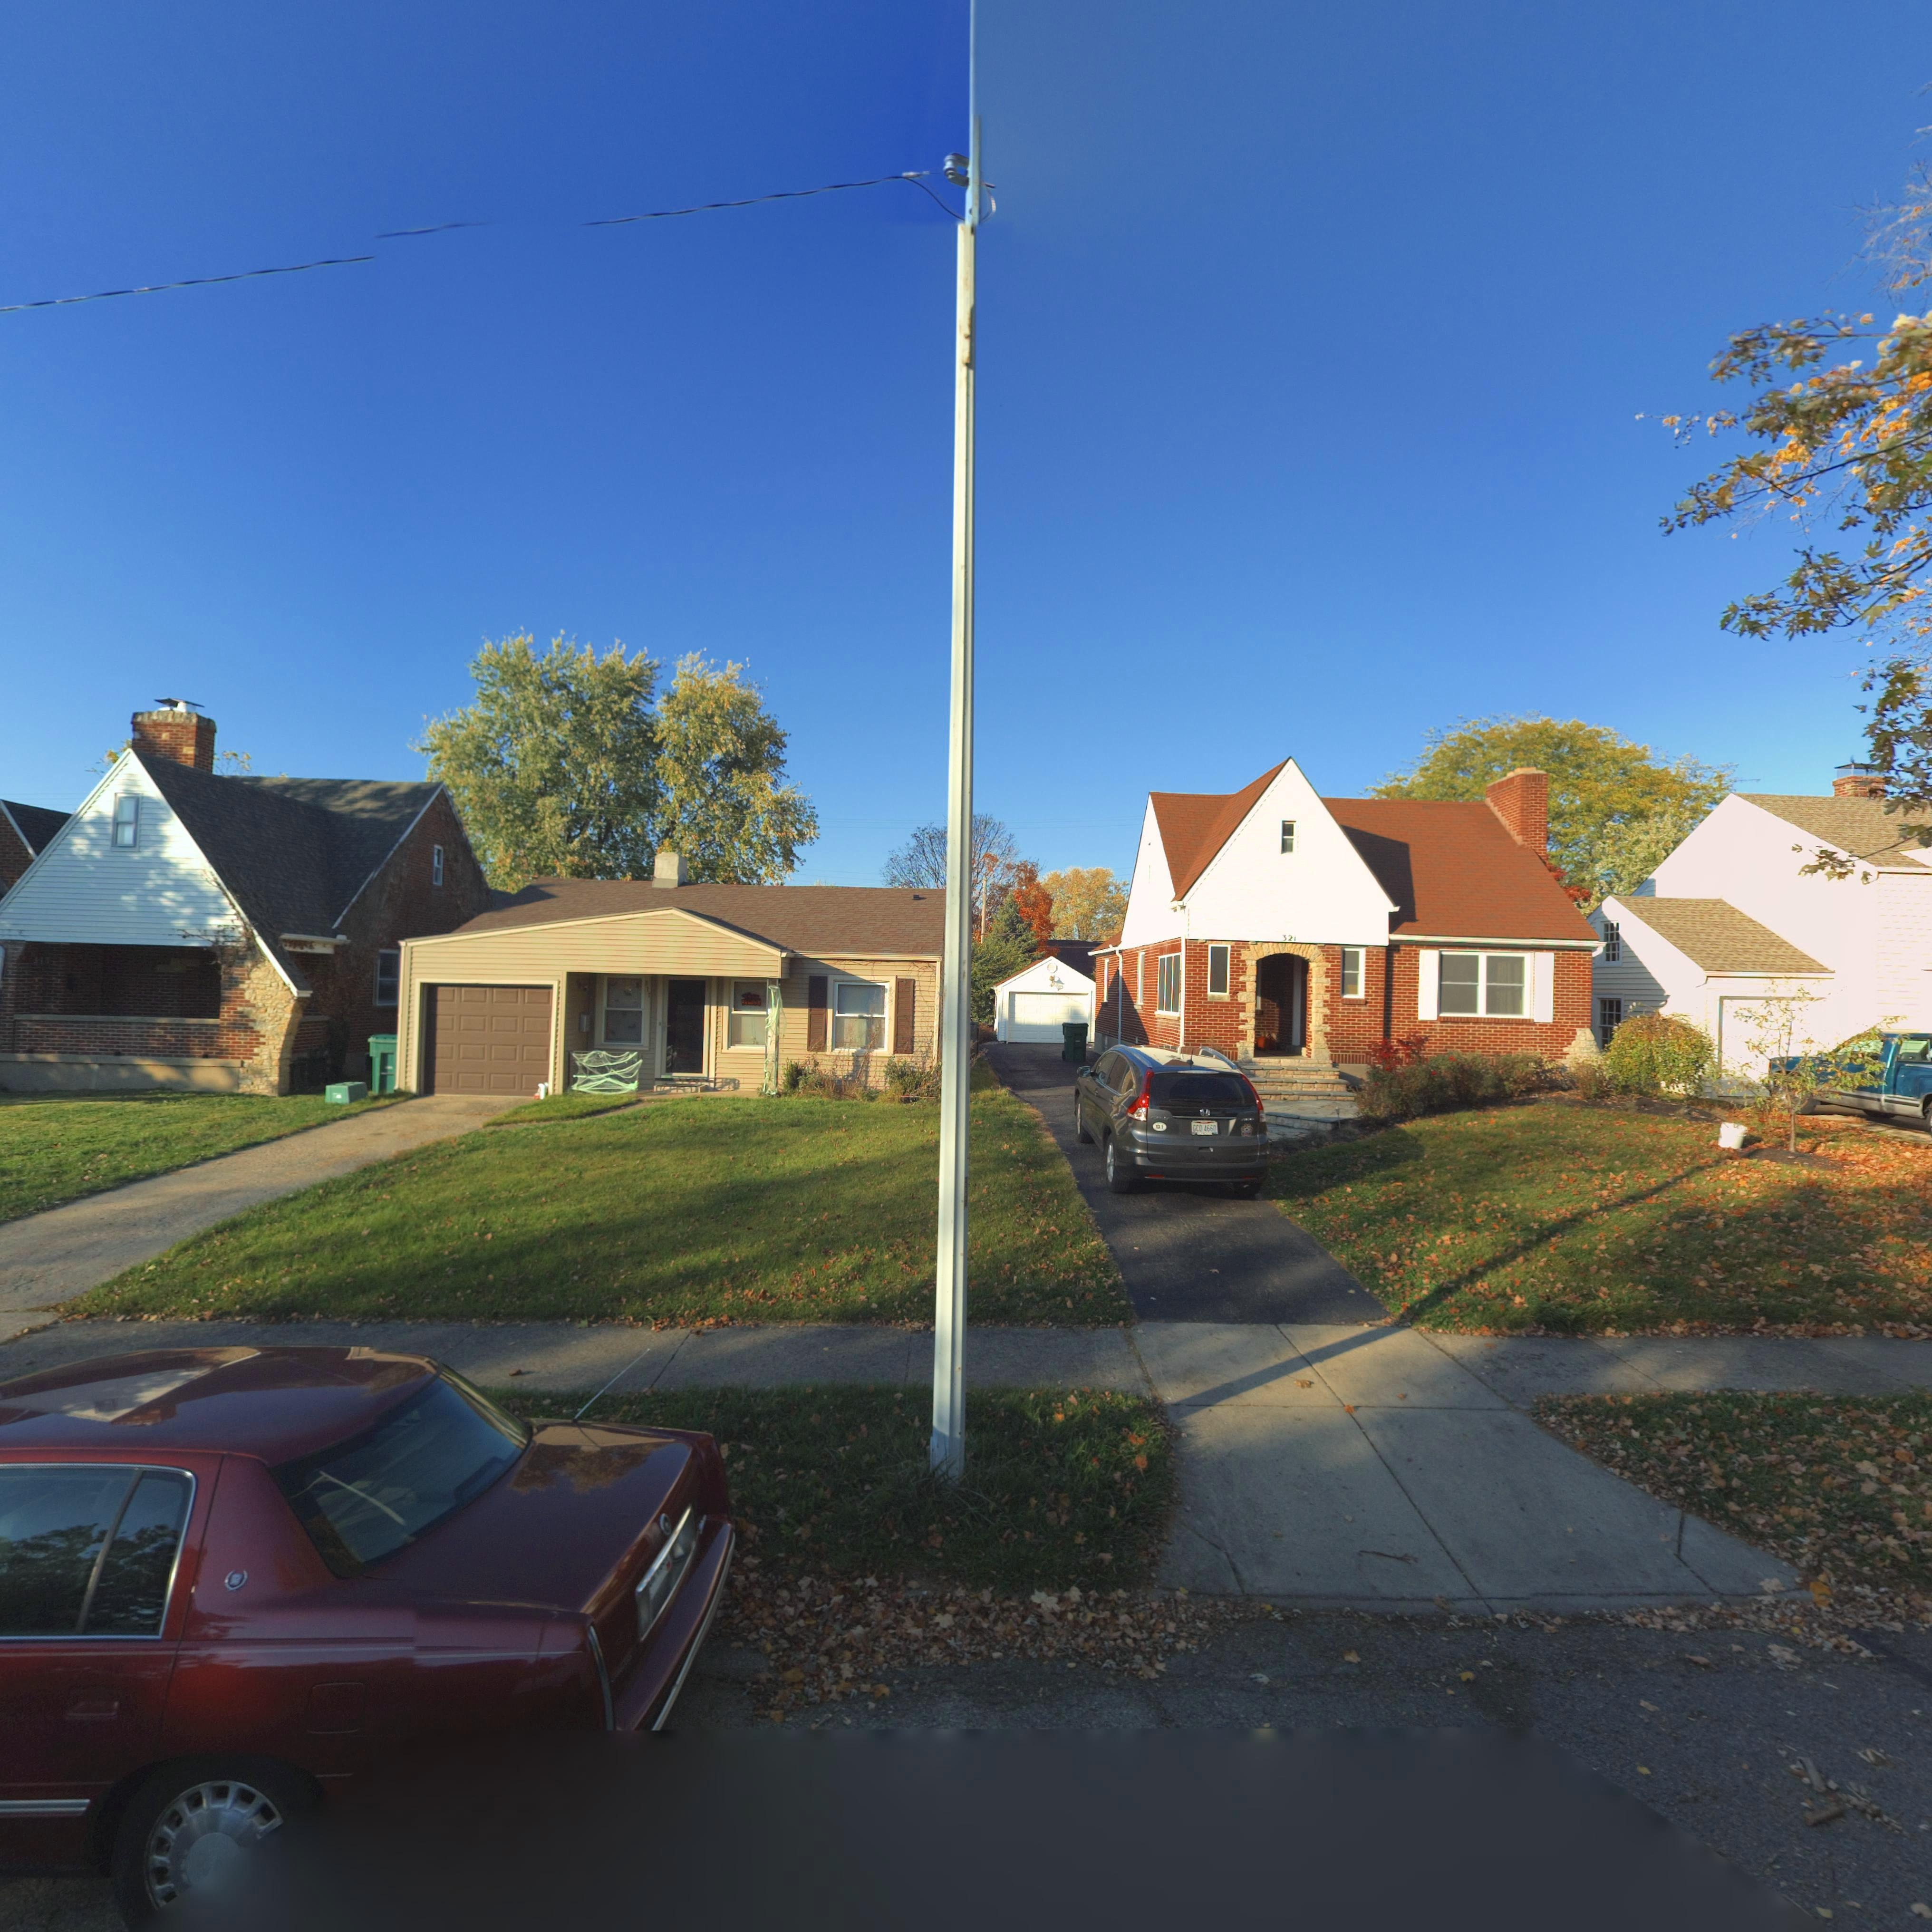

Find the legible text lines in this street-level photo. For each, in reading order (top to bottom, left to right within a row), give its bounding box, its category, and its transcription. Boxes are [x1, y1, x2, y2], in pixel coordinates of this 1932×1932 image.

[1281, 933, 1298, 942] StreetNumber: 321